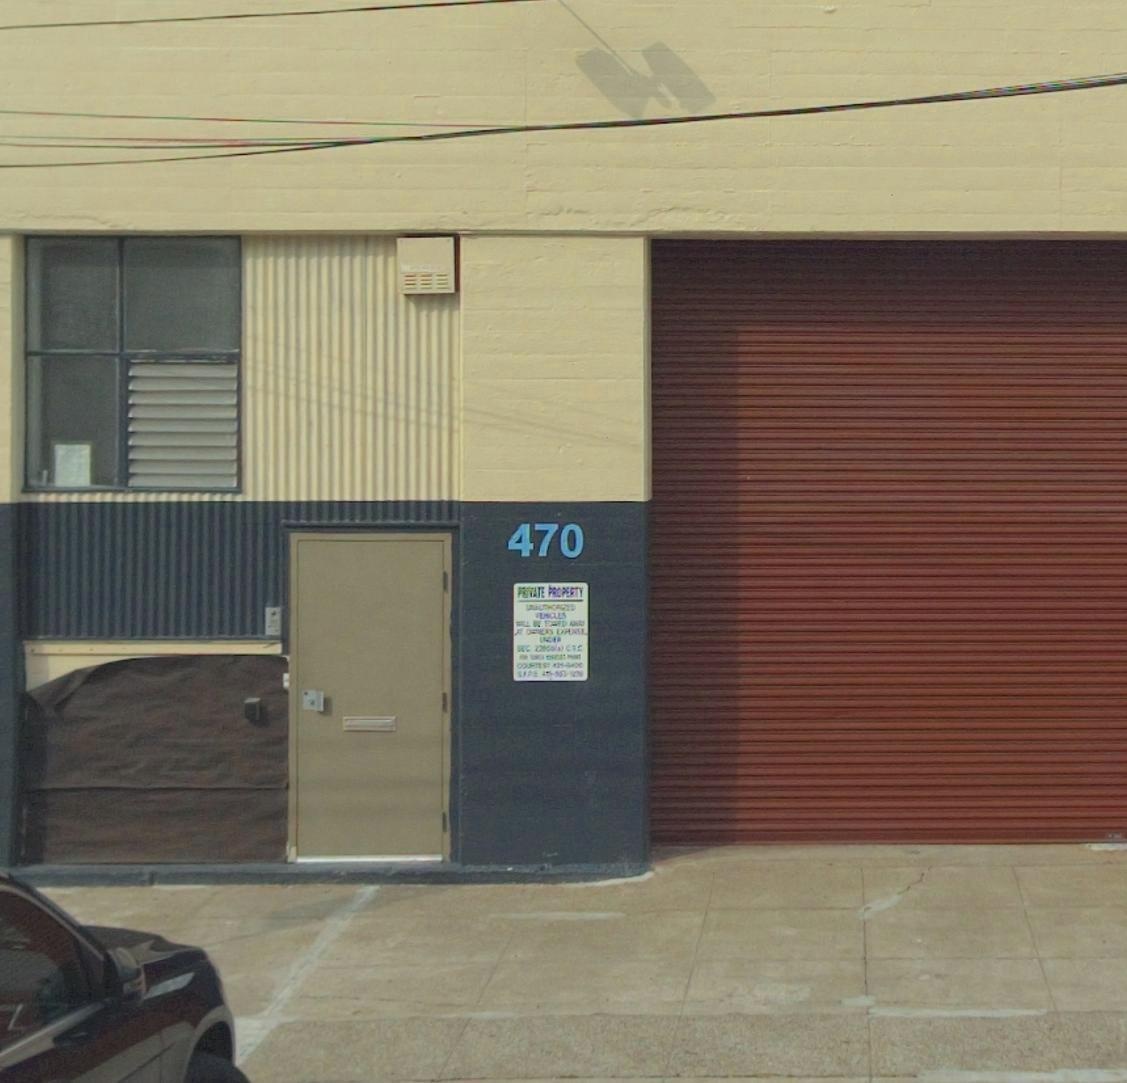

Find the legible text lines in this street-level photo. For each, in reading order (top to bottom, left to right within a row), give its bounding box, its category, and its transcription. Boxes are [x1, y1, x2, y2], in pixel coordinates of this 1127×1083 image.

[506, 522, 586, 561] StreetNumber: 470
[515, 584, 583, 599] None: PRIVATE PROPERTY